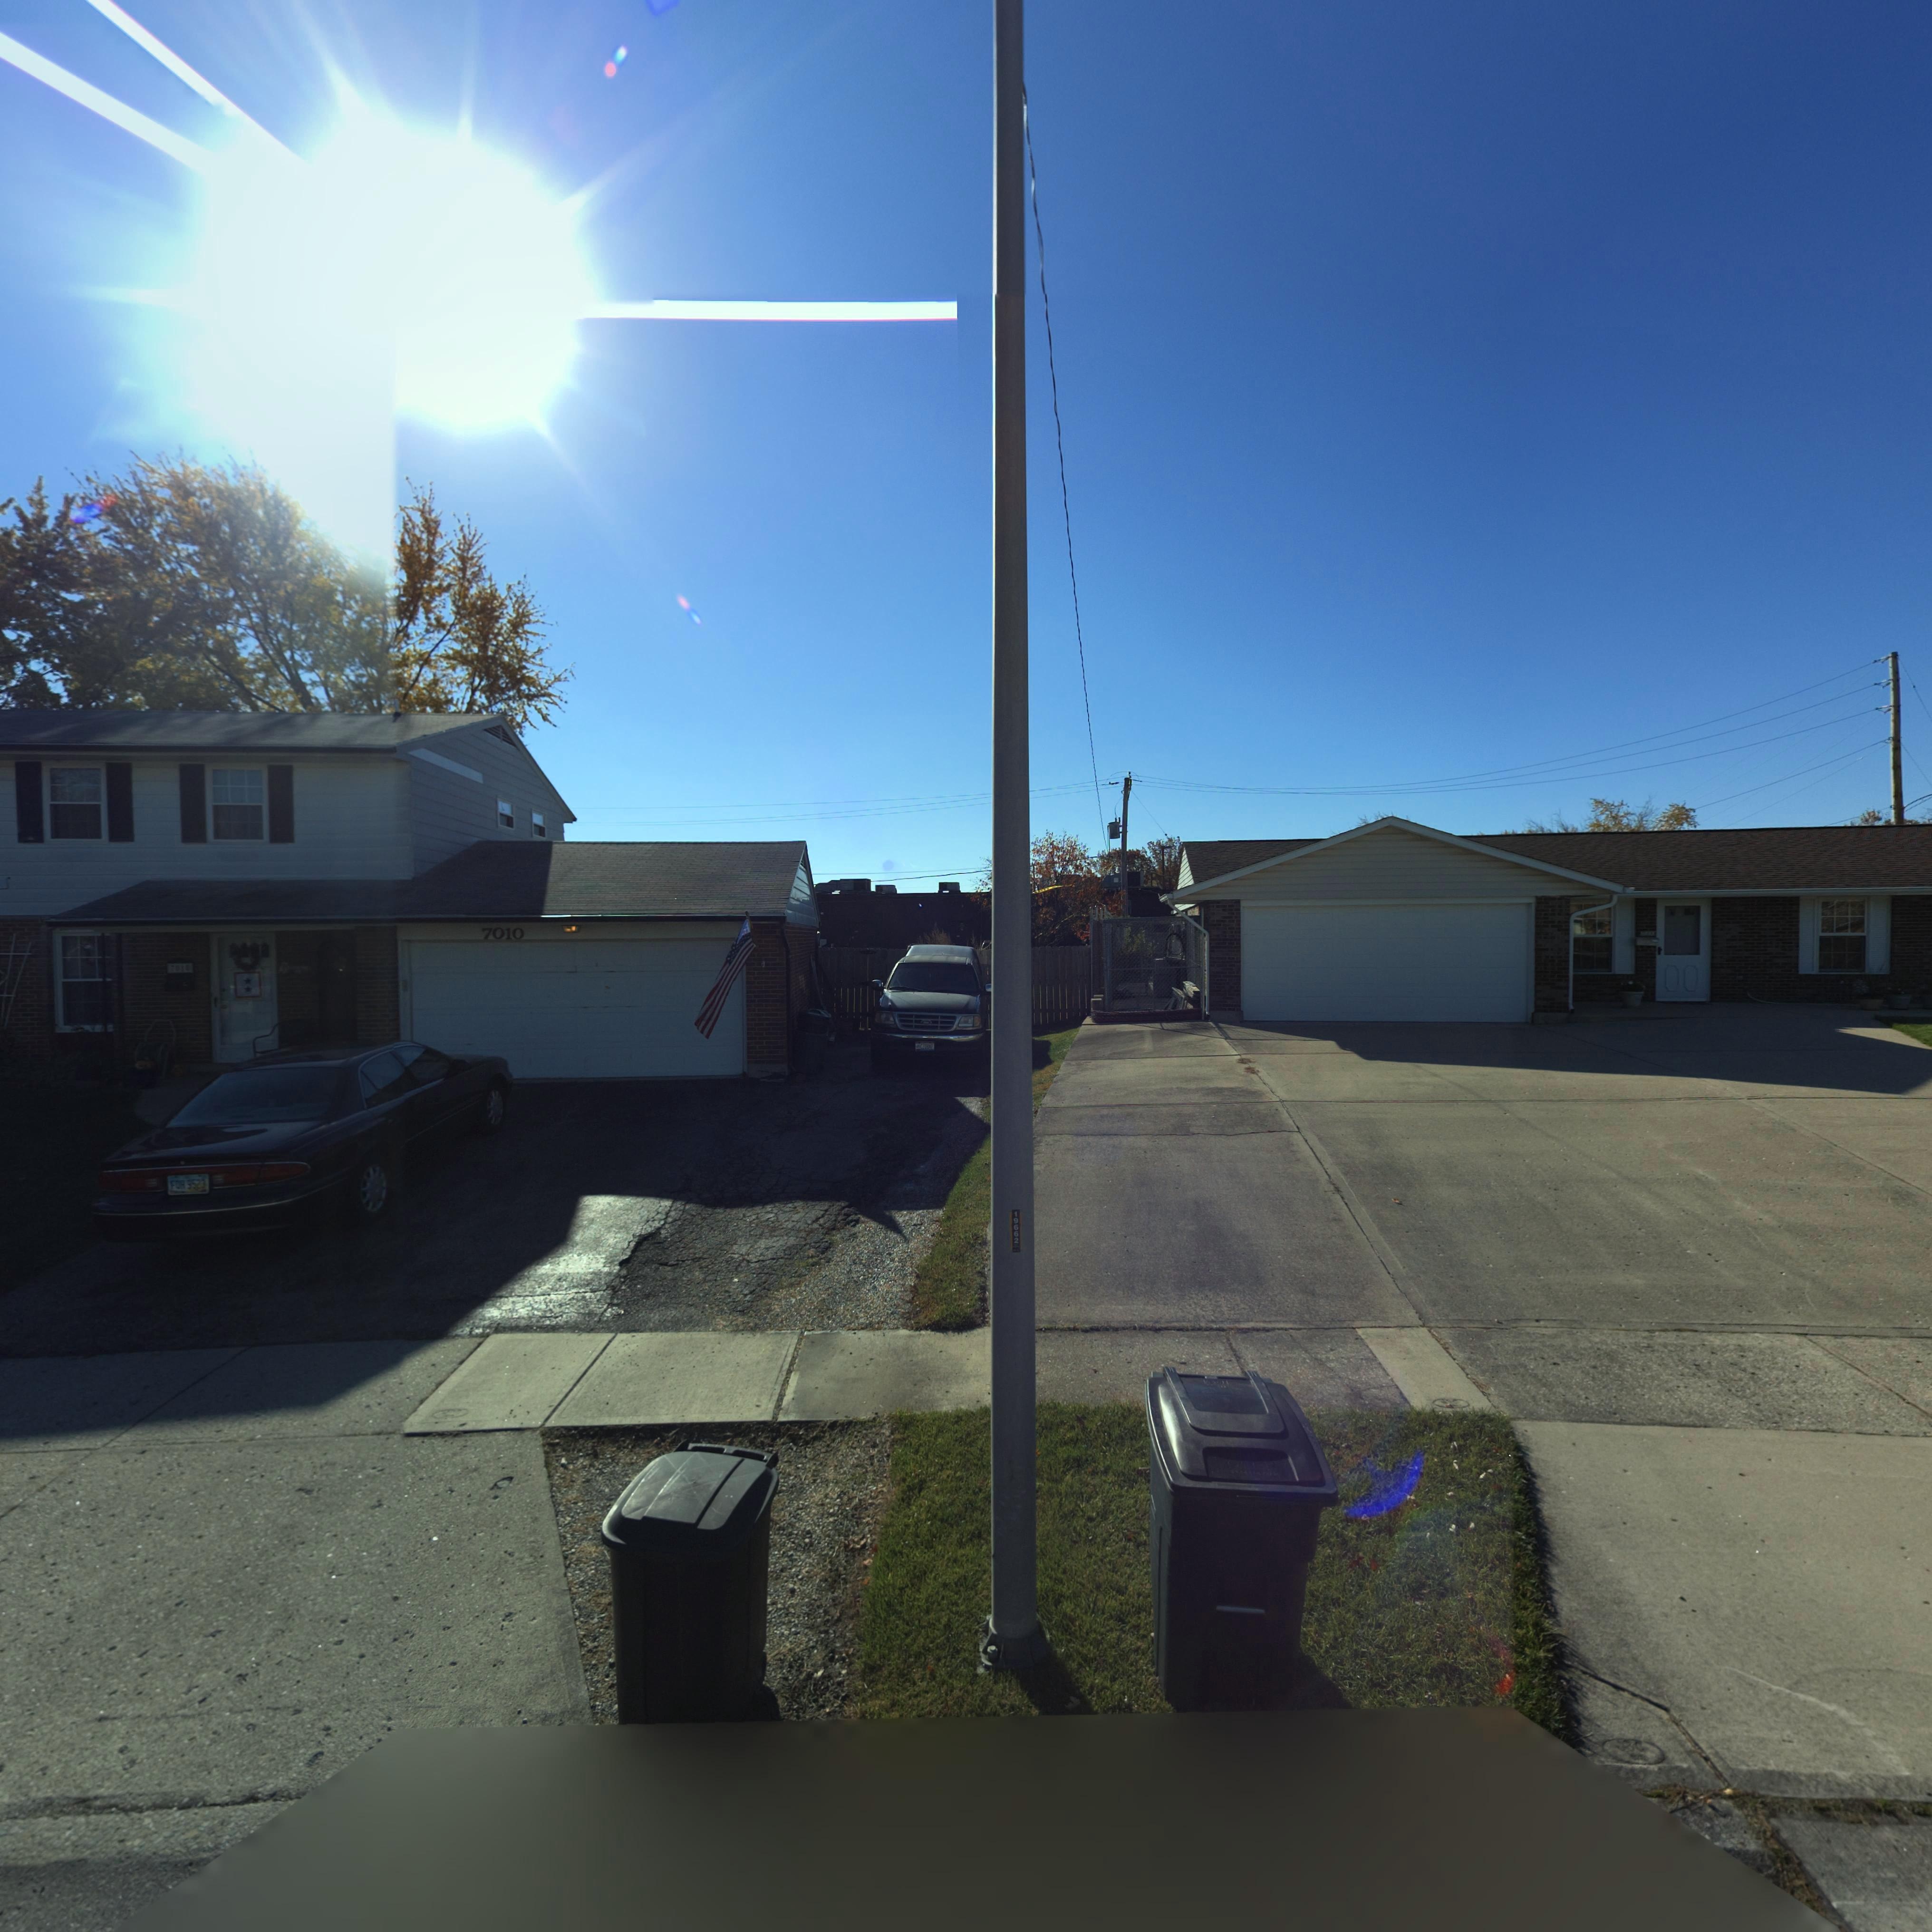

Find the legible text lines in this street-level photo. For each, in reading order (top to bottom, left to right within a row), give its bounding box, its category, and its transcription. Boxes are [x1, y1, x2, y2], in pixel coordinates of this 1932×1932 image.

[480, 927, 525, 940] StreetNumber: 7010
[1641, 931, 1656, 937] StreetNumber: 7000
[169, 964, 190, 973] StreetNumber: 7010